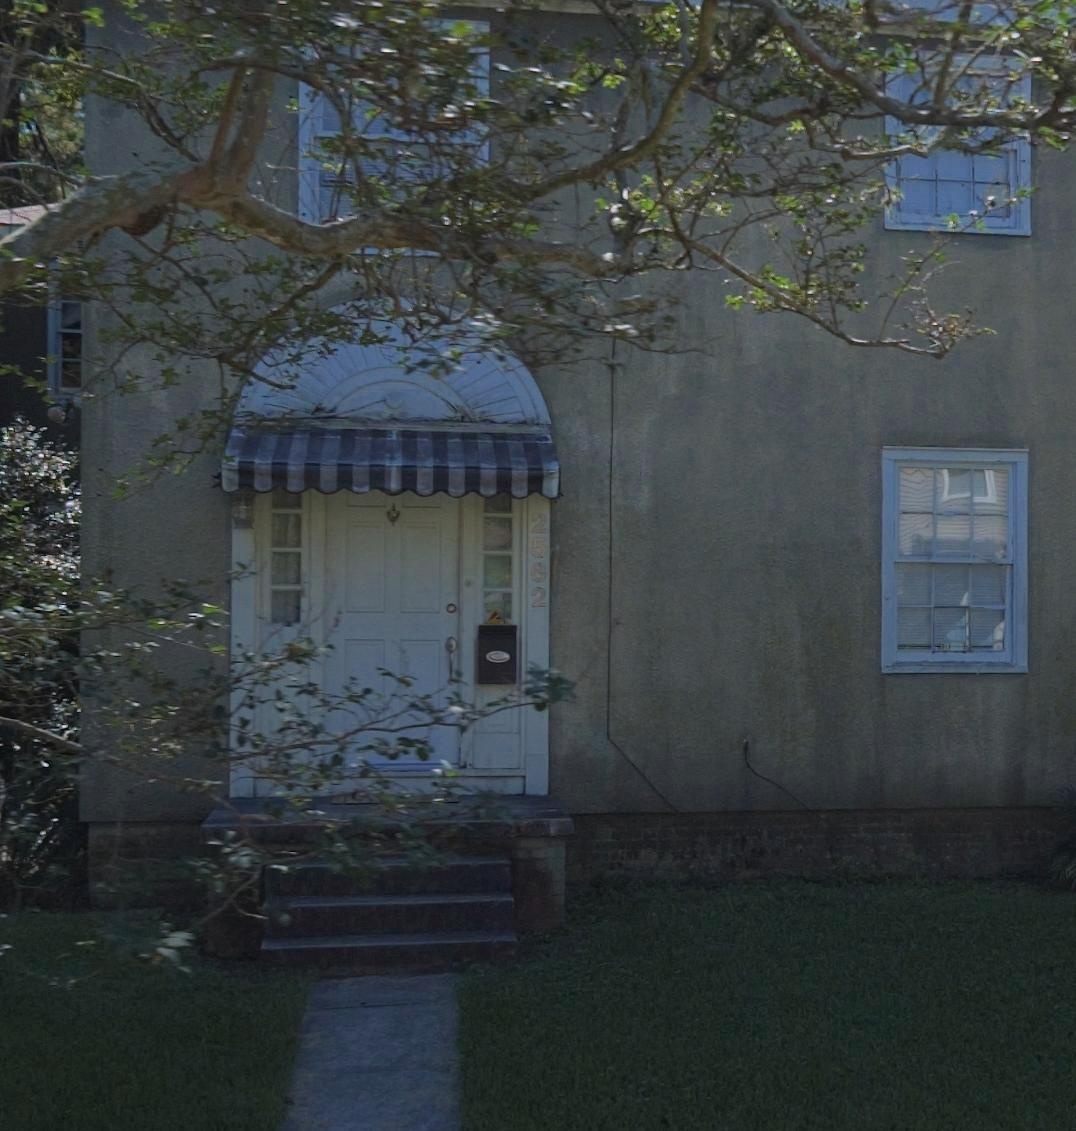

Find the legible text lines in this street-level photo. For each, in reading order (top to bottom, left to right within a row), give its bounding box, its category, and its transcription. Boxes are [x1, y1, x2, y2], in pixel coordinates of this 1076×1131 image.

[528, 510, 550, 610] StreetNumber: 2562